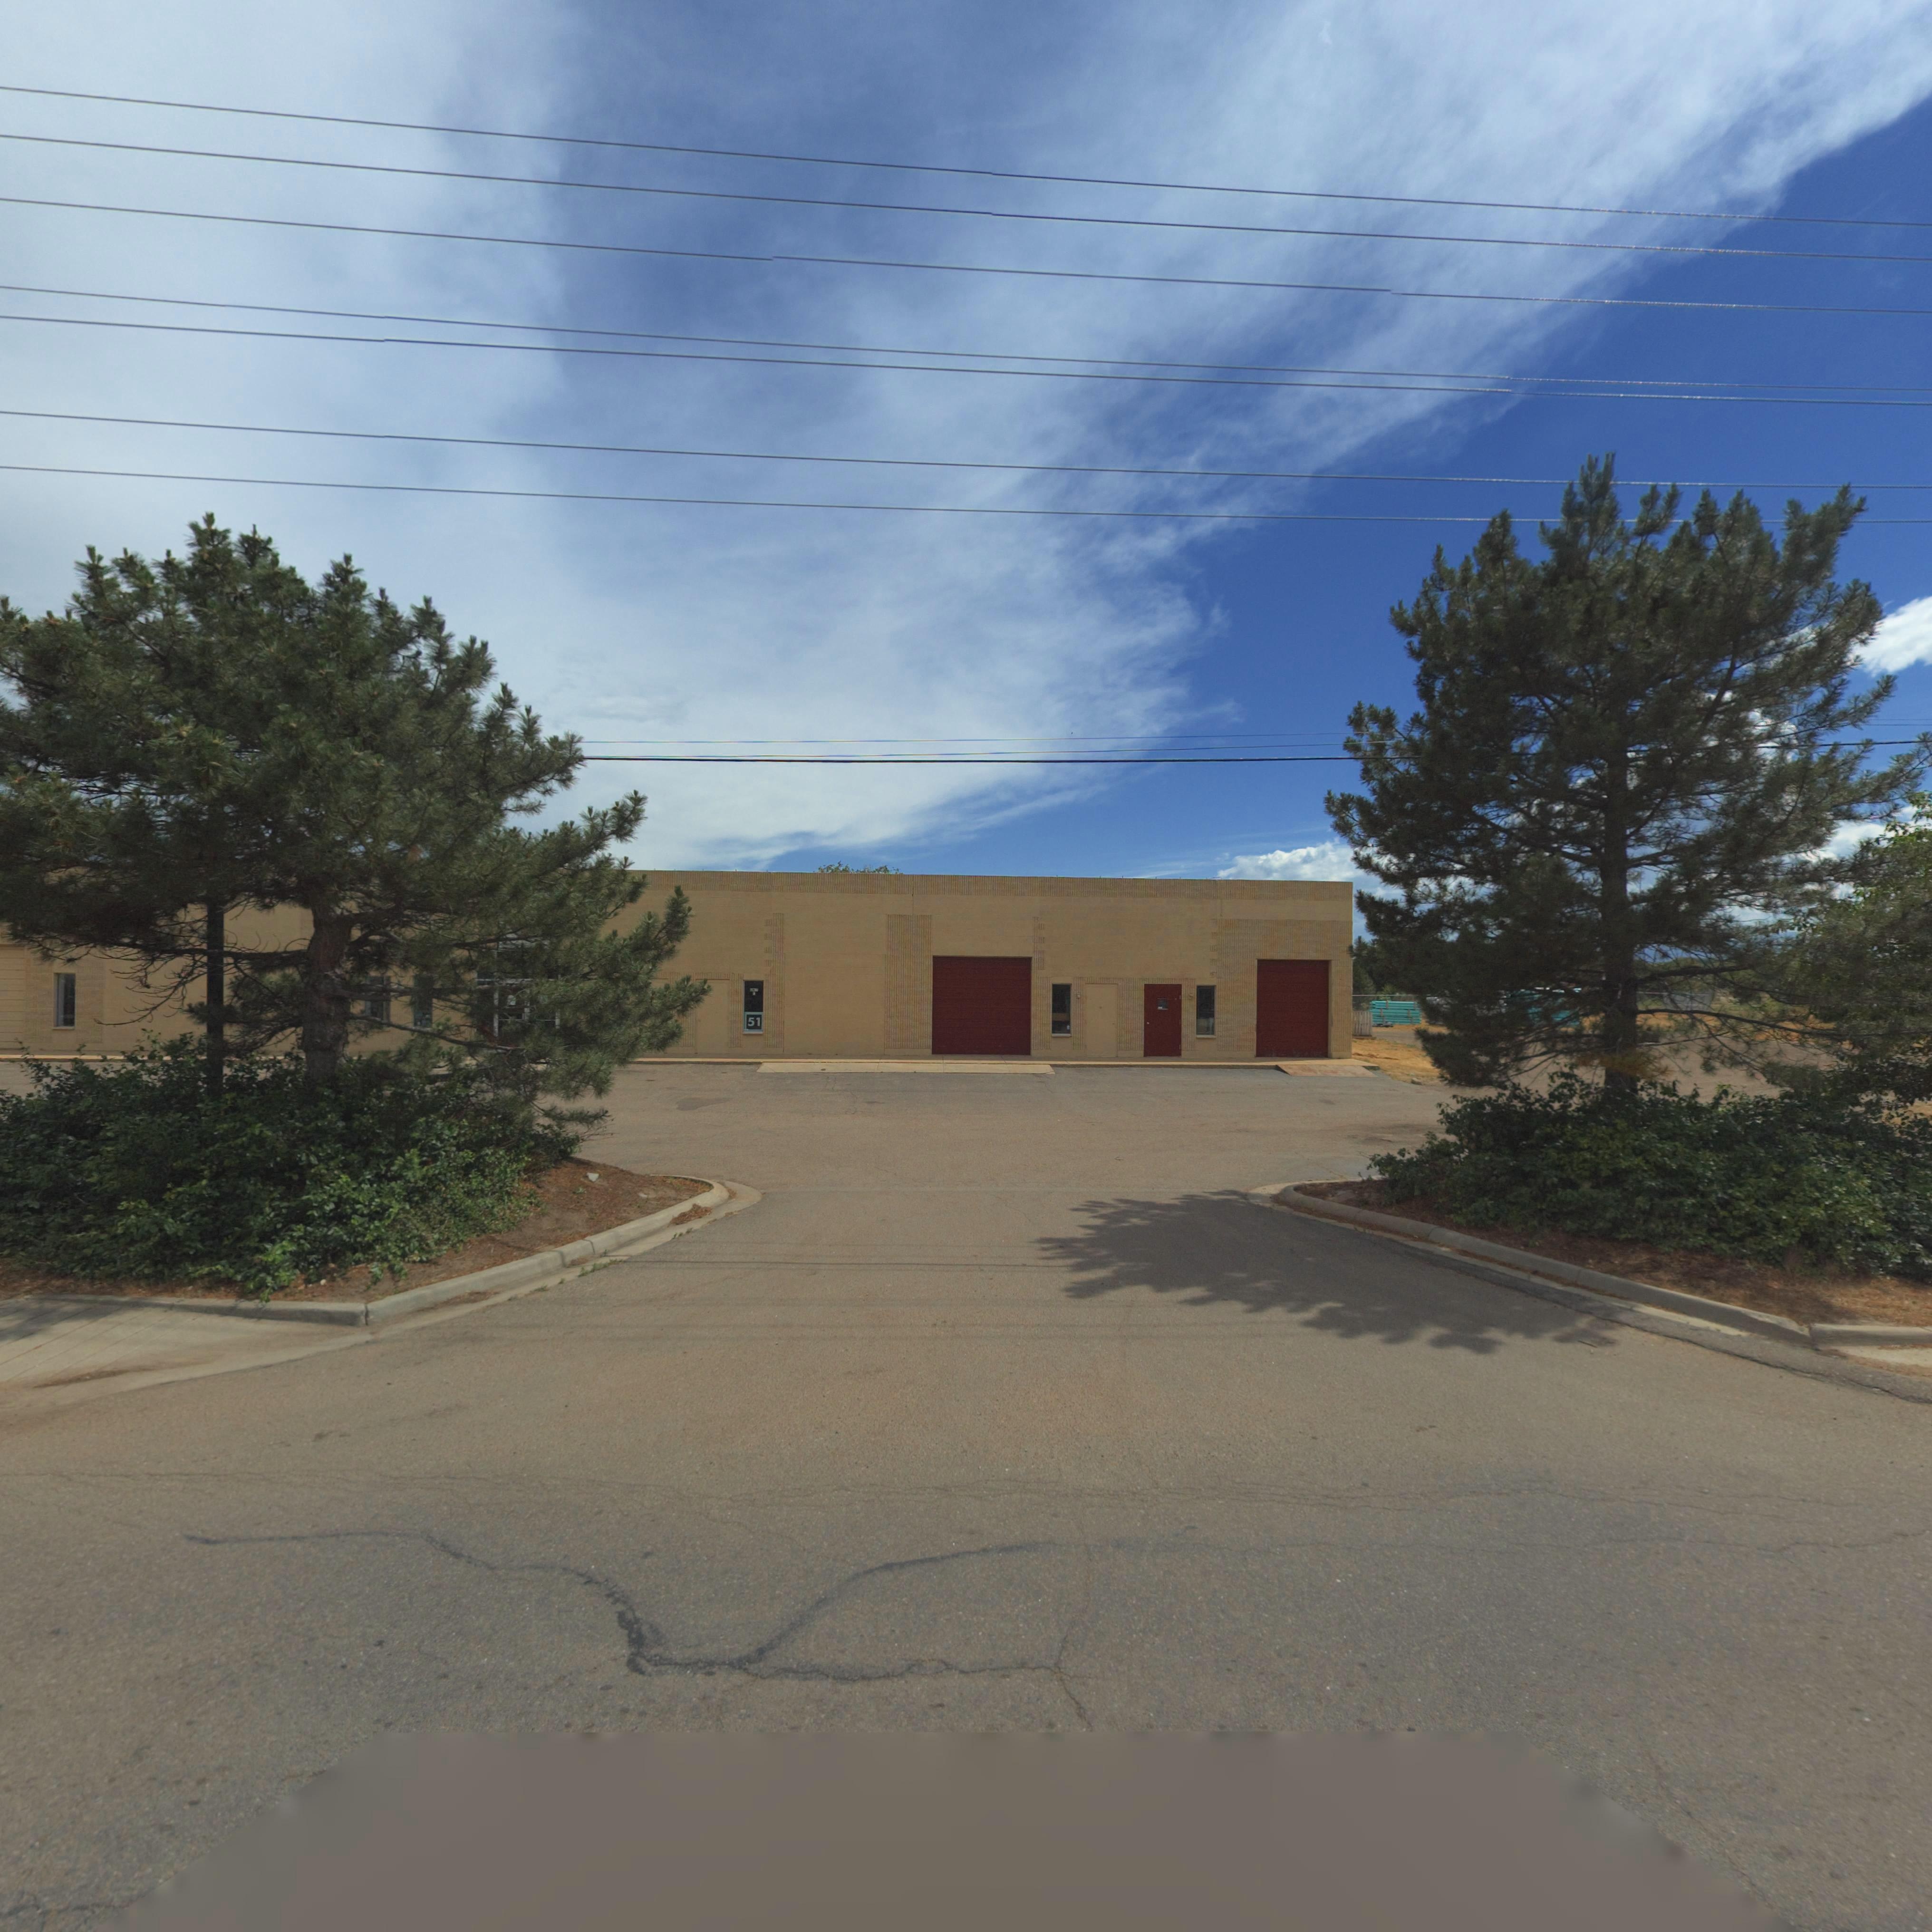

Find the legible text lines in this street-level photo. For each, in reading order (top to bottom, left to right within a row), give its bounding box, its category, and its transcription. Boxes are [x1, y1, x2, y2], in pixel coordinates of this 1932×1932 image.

[747, 1017, 760, 1026] StreetNumber: 51